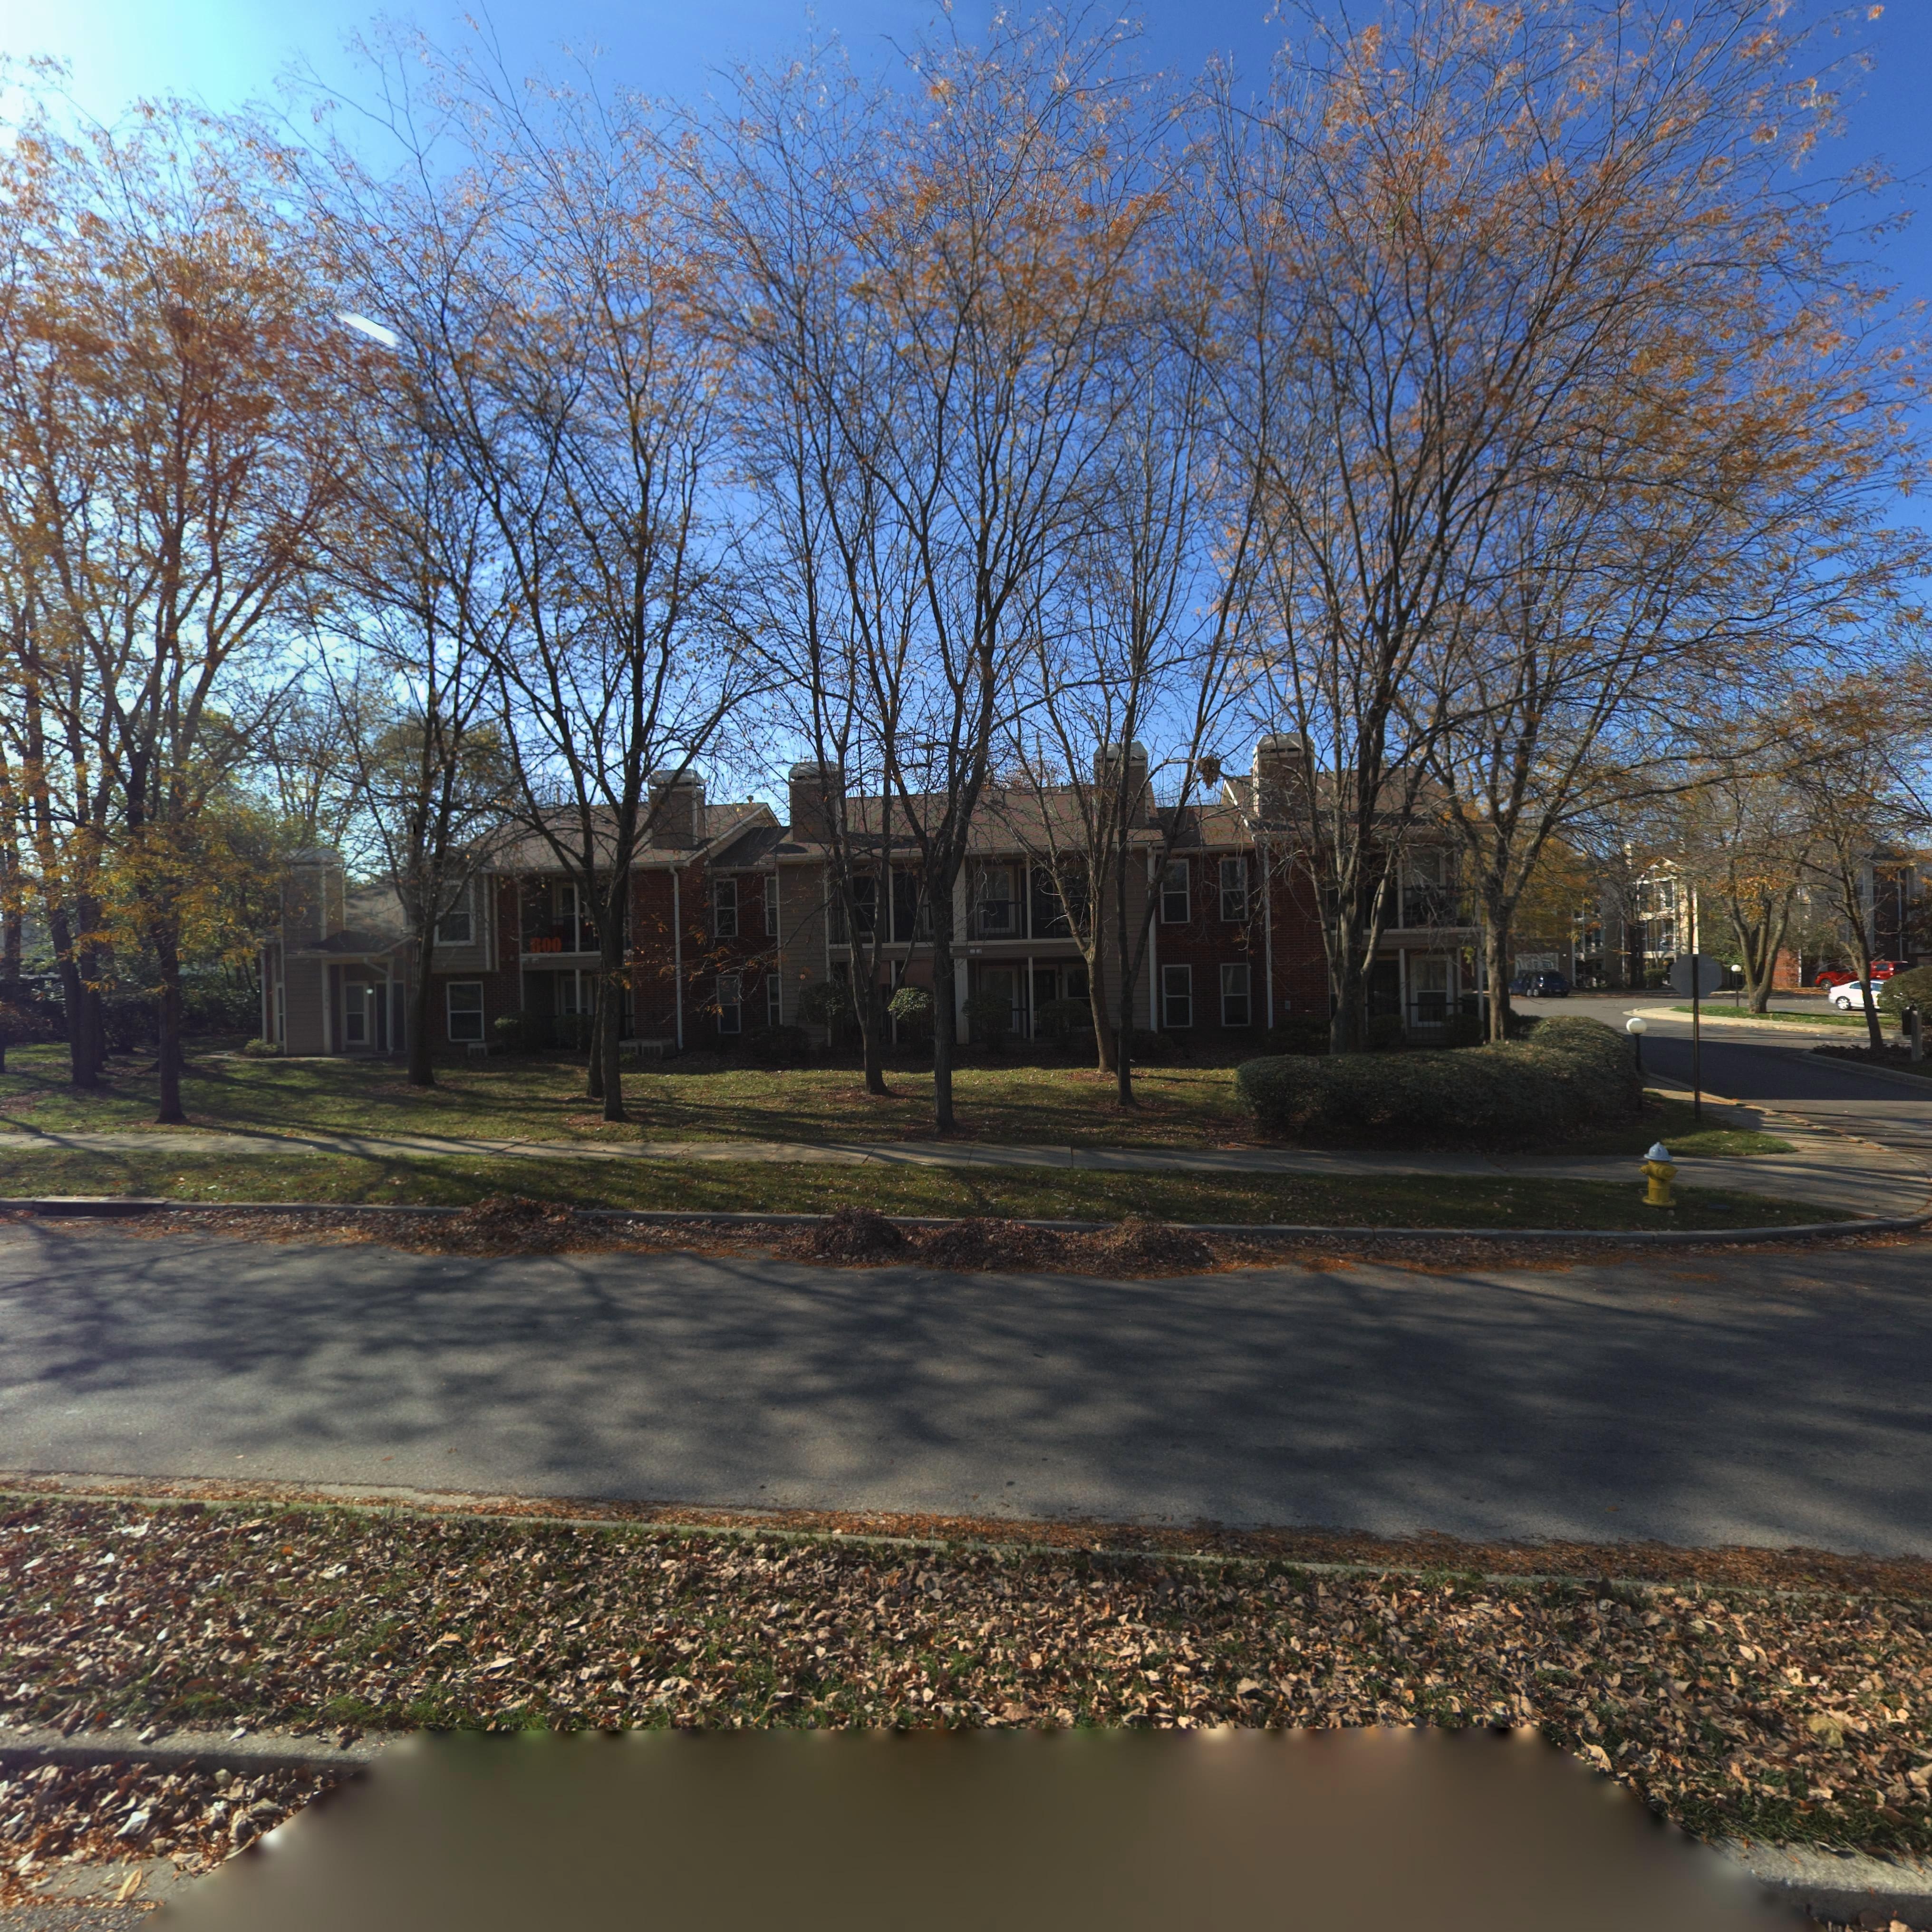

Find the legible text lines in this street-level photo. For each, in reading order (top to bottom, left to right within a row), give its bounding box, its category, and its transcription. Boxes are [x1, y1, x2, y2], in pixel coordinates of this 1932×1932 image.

[530, 936, 562, 954] None: BOO